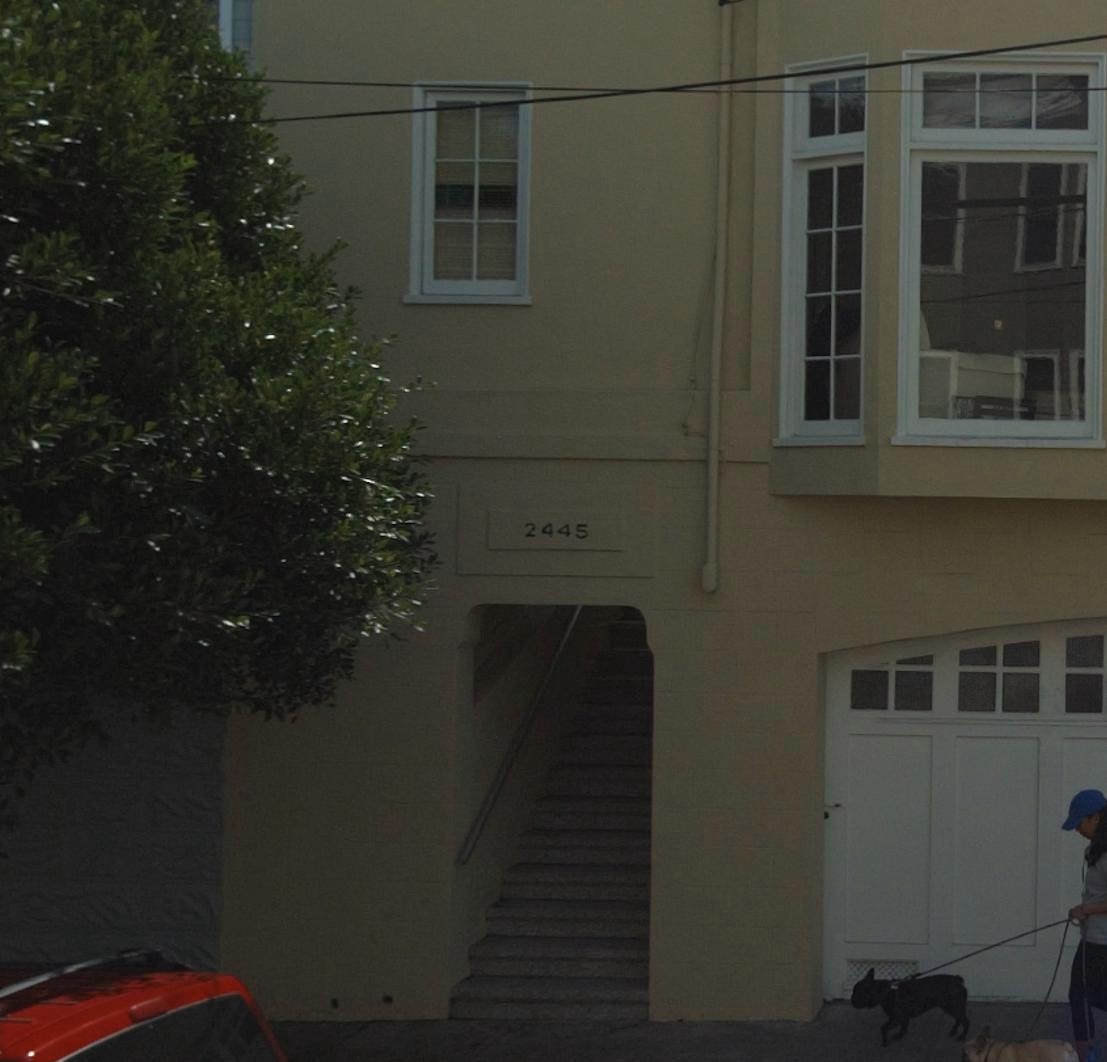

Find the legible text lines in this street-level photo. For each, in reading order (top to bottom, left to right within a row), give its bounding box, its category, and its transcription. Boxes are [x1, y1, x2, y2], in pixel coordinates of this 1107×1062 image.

[522, 520, 591, 542] StreetNumber: 2445